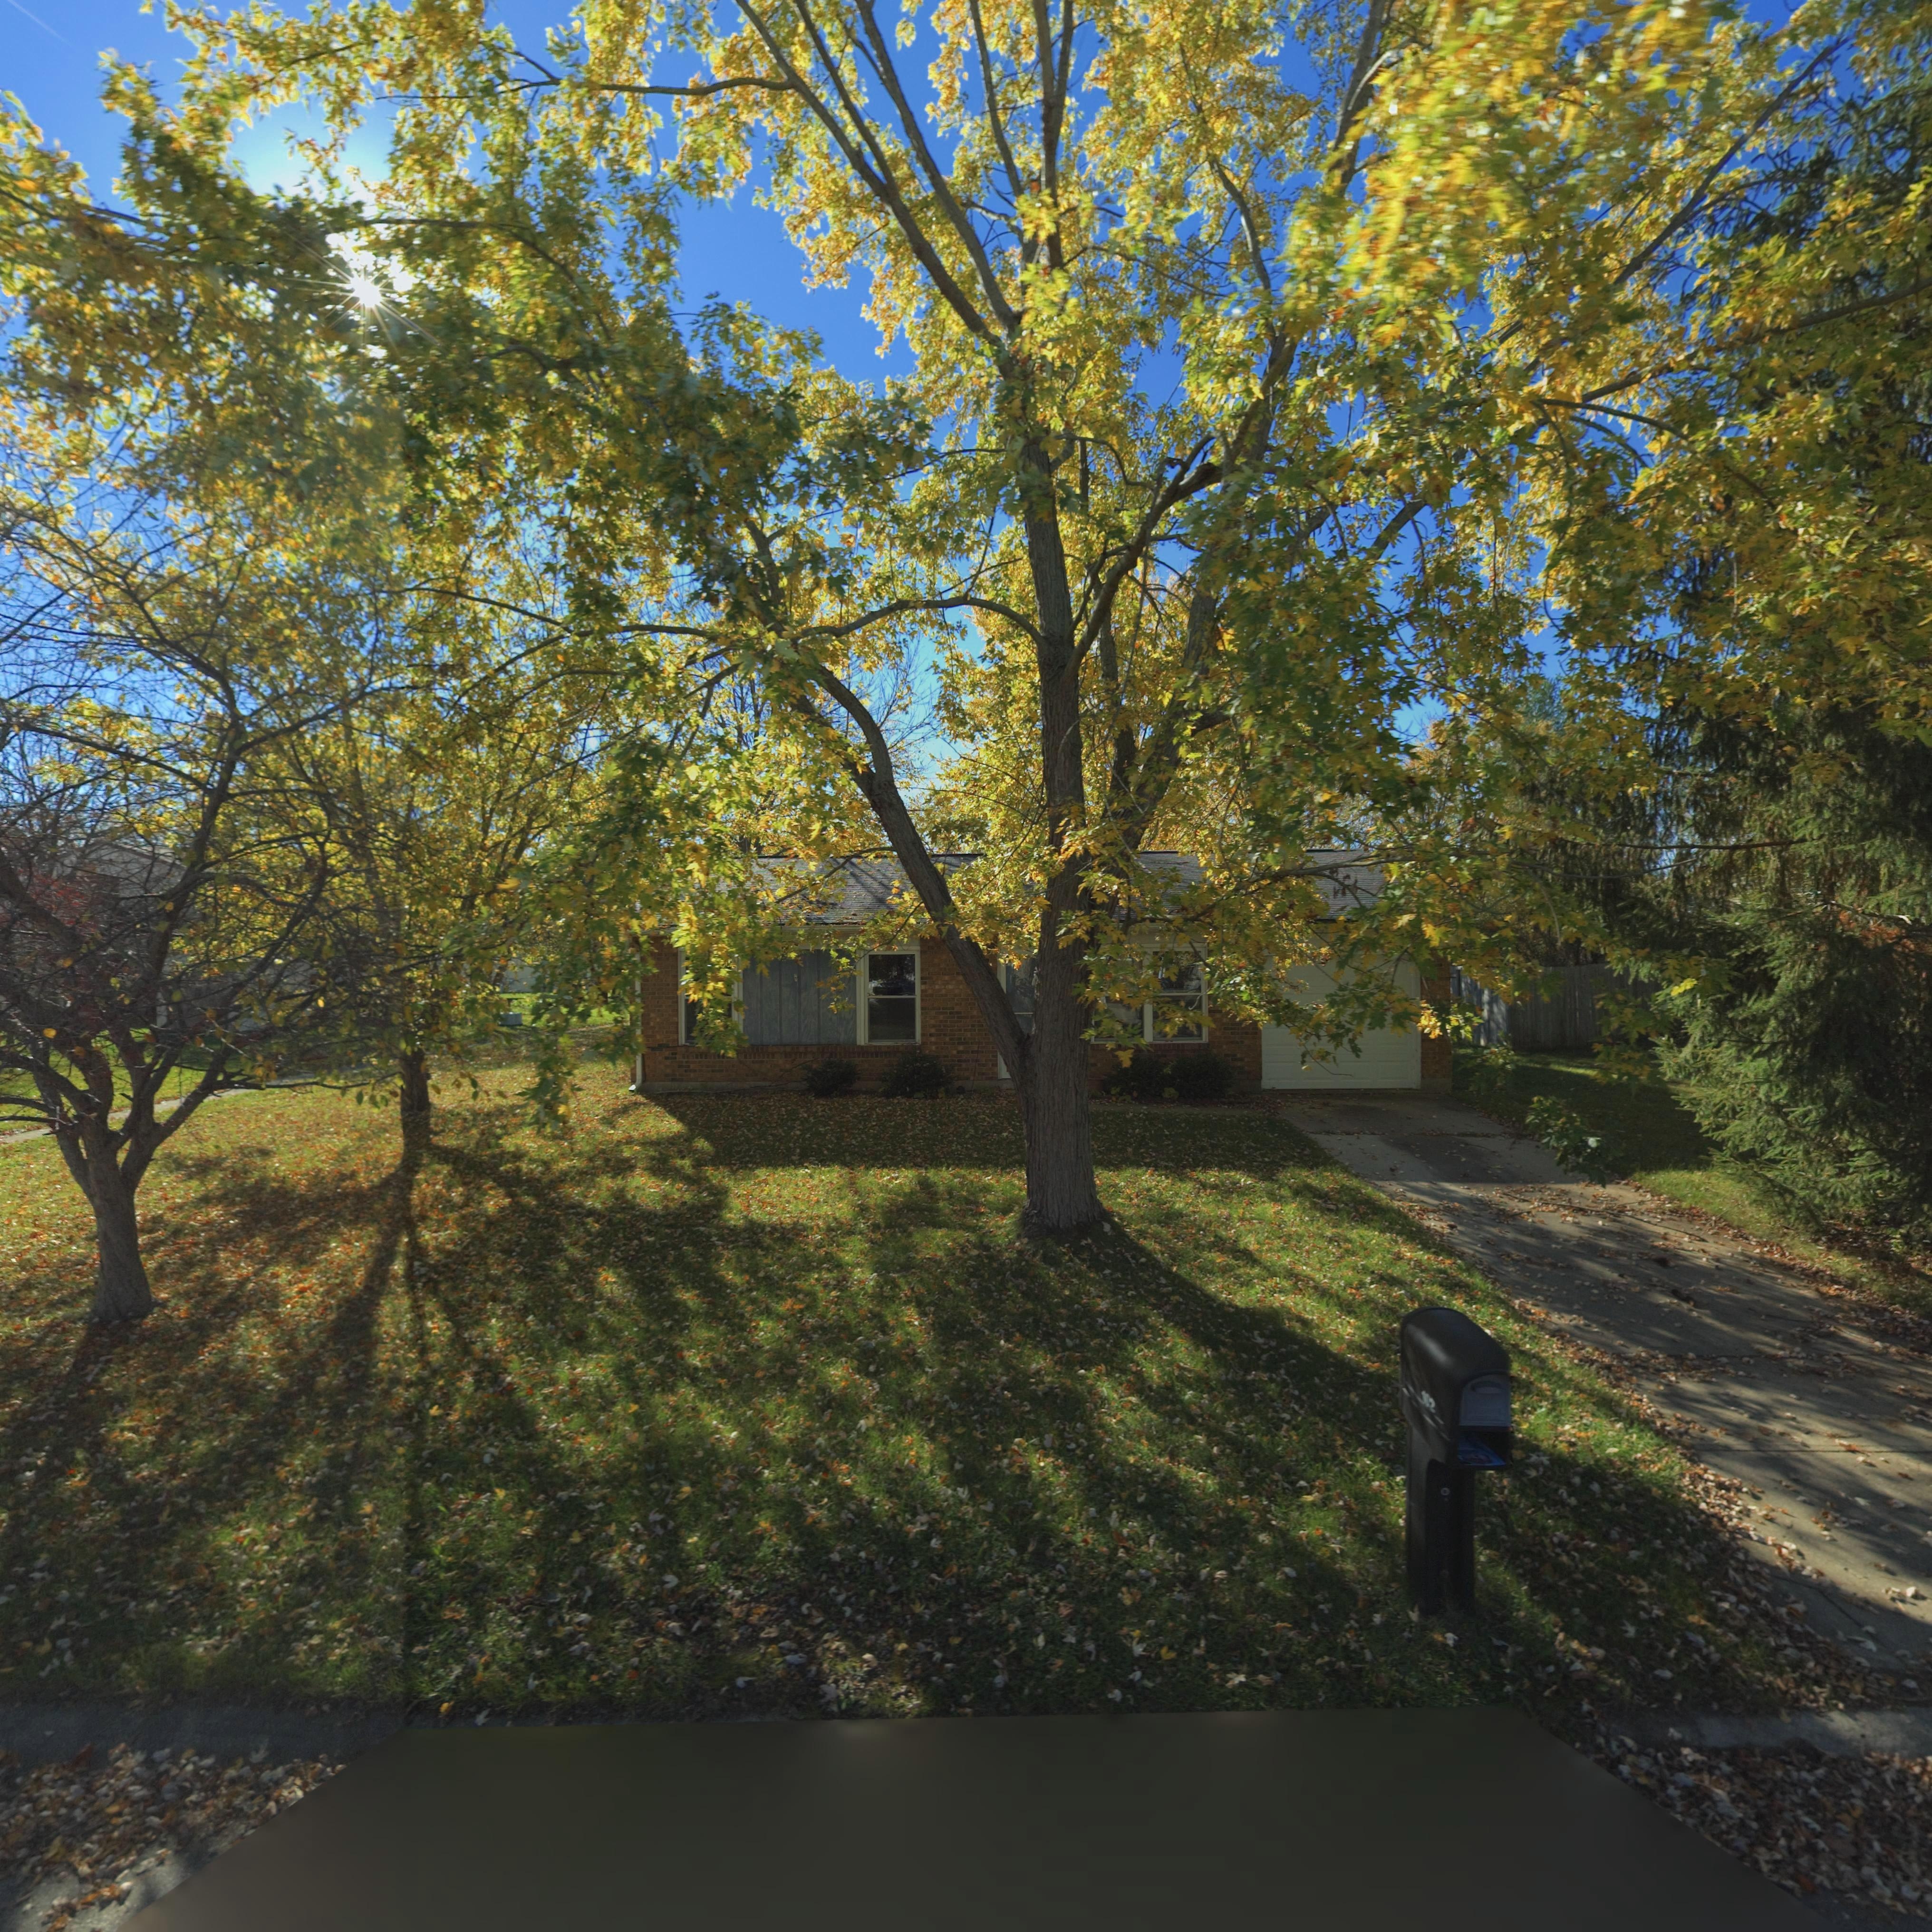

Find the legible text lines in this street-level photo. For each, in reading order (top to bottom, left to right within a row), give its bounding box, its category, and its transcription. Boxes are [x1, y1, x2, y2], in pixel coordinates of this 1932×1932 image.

[1420, 1389, 1437, 1413] StreetNumber: 102